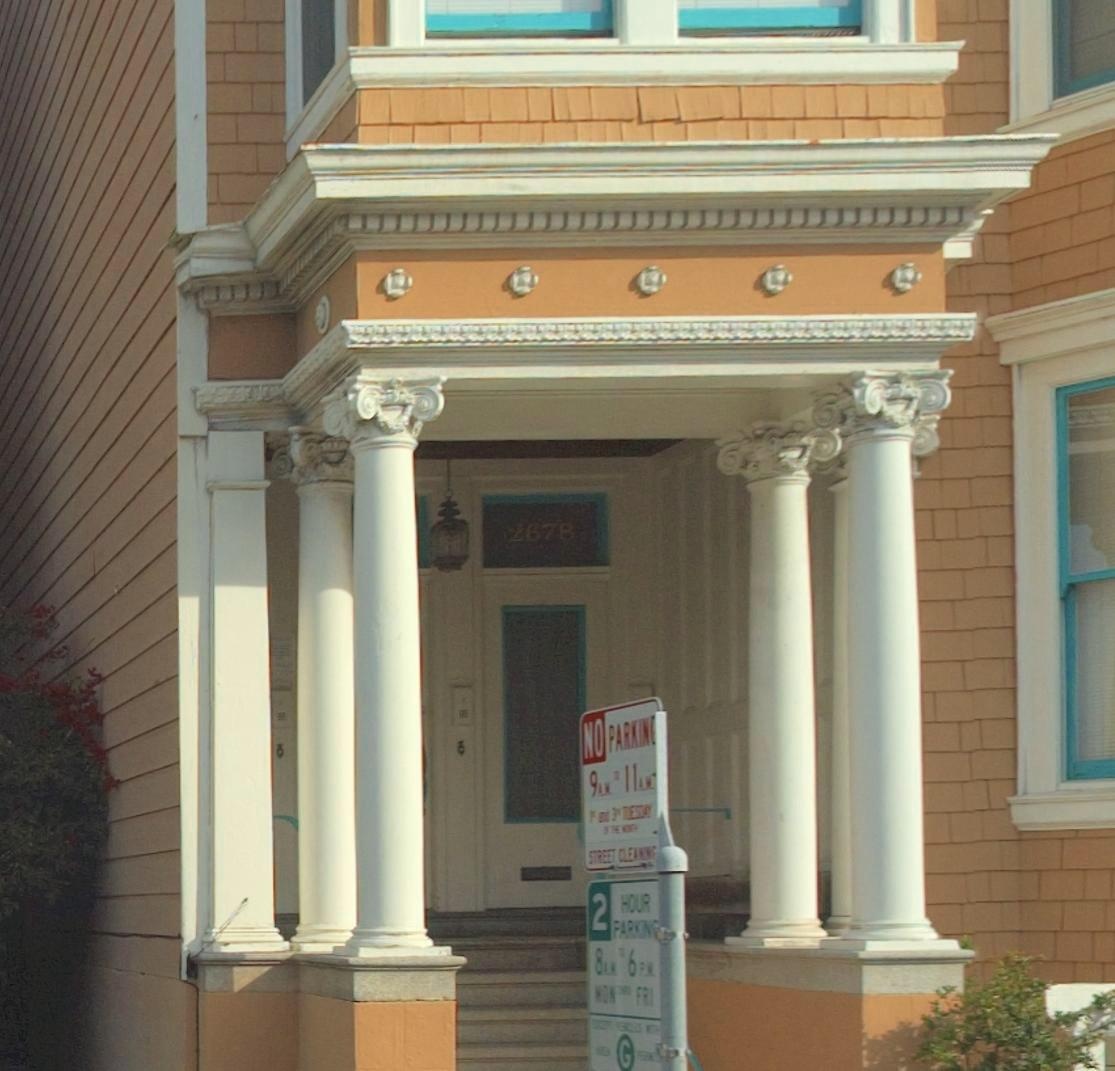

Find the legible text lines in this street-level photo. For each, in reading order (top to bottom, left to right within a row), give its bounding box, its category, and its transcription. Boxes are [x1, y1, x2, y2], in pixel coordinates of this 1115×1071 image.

[506, 520, 577, 544] StreetNumber: 2678
[581, 711, 656, 763] None: NO PARKIN
[585, 757, 658, 801] None: 9AM * 11AM
[585, 843, 648, 867] None: STREET CLEAN
[589, 890, 610, 934] None: 2
[611, 917, 655, 941] None: PARKIN
[618, 891, 653, 916] None: HOUR
[592, 943, 658, 980] None: 8AM * 6PM
[591, 981, 659, 1010] None: MON * FRI
[616, 1036, 634, 1070] None: G